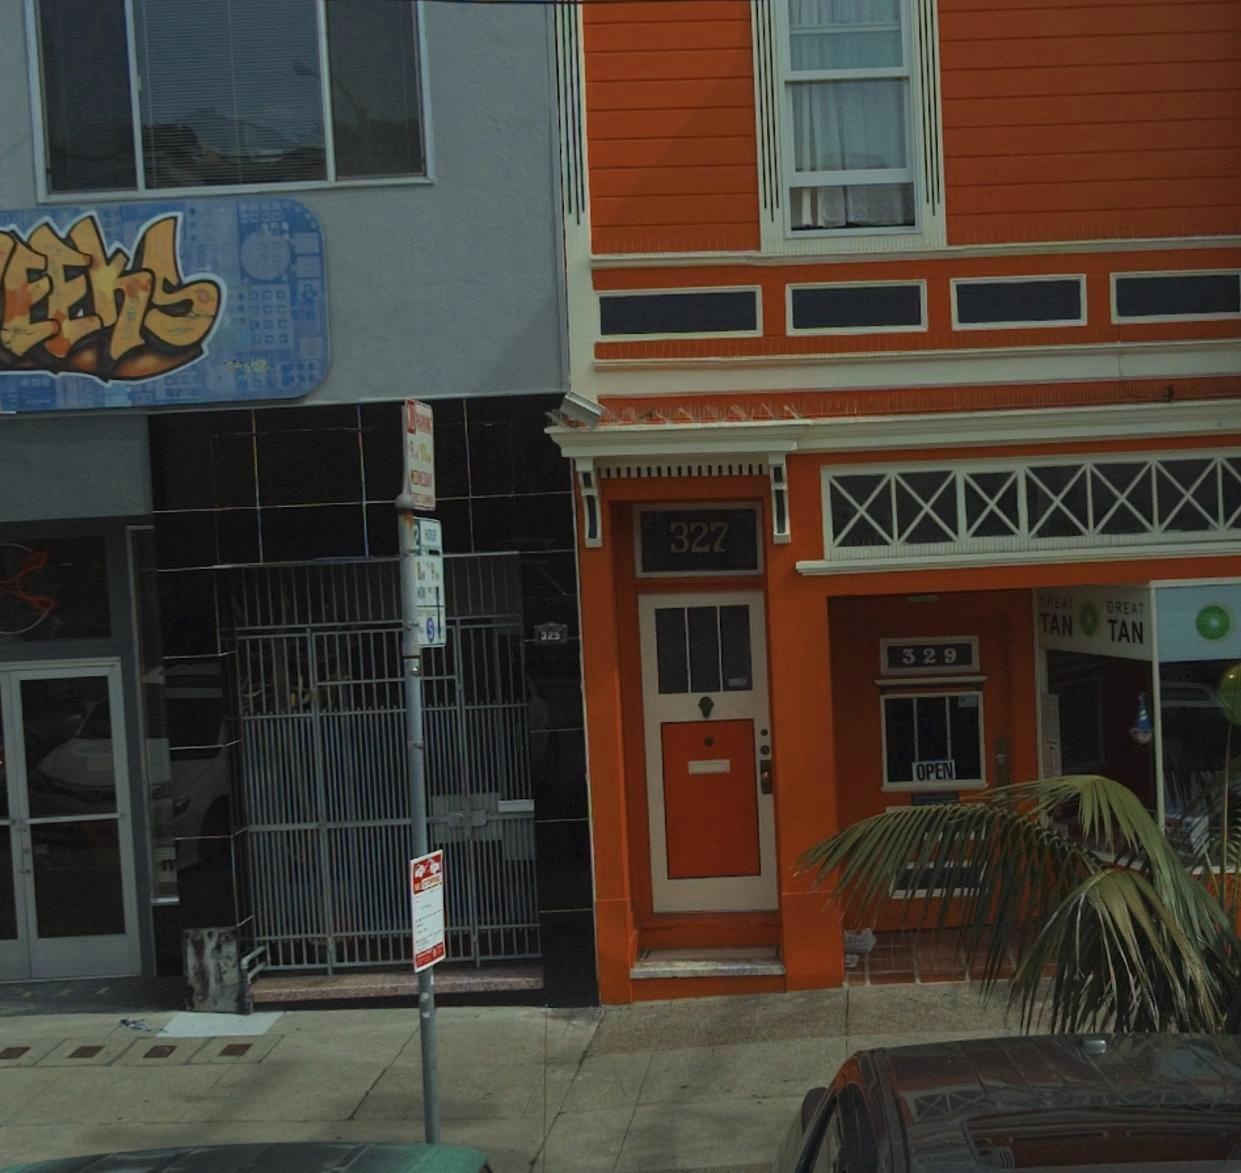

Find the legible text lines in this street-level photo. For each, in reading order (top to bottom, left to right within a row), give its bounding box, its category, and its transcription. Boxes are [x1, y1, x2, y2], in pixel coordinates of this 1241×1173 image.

[0, 210, 224, 364] BusinessName: EEKS
[669, 521, 732, 554] StreetNumber: 327
[1038, 594, 1075, 611] BusinessName: GREAT
[1106, 600, 1147, 616] BusinessName: GREAT
[427, 619, 434, 641] None: S
[539, 630, 561, 641] StreetNumber: 325
[1039, 611, 1074, 638] BusinessName: TAN
[1106, 618, 1144, 644] BusinessName: TAN
[900, 646, 957, 665] StreetNumber: 329
[915, 761, 954, 781] None: OPEN